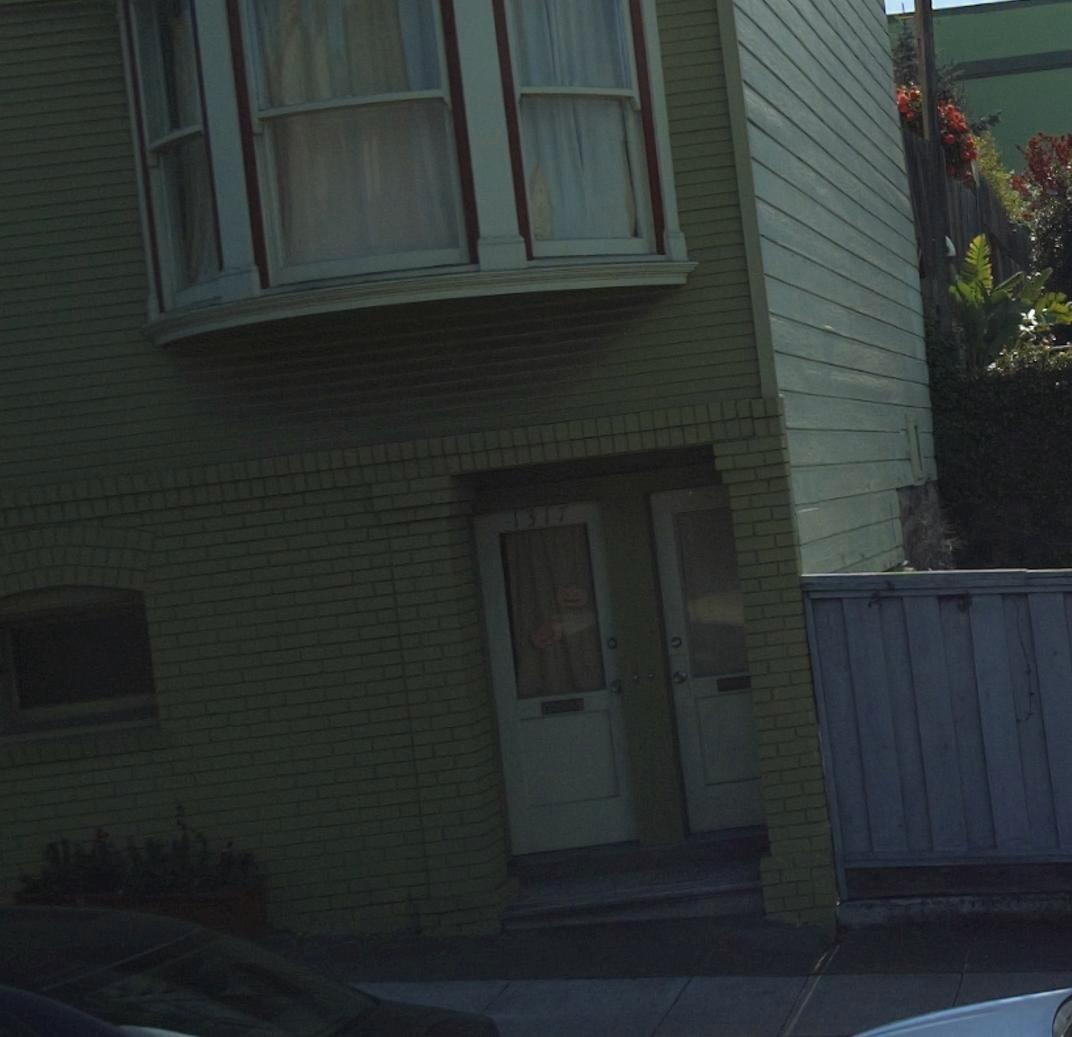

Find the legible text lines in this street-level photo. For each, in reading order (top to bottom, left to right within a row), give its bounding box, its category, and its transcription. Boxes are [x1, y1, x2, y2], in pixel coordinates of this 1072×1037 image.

[512, 505, 567, 531] StreetNumber: 1317